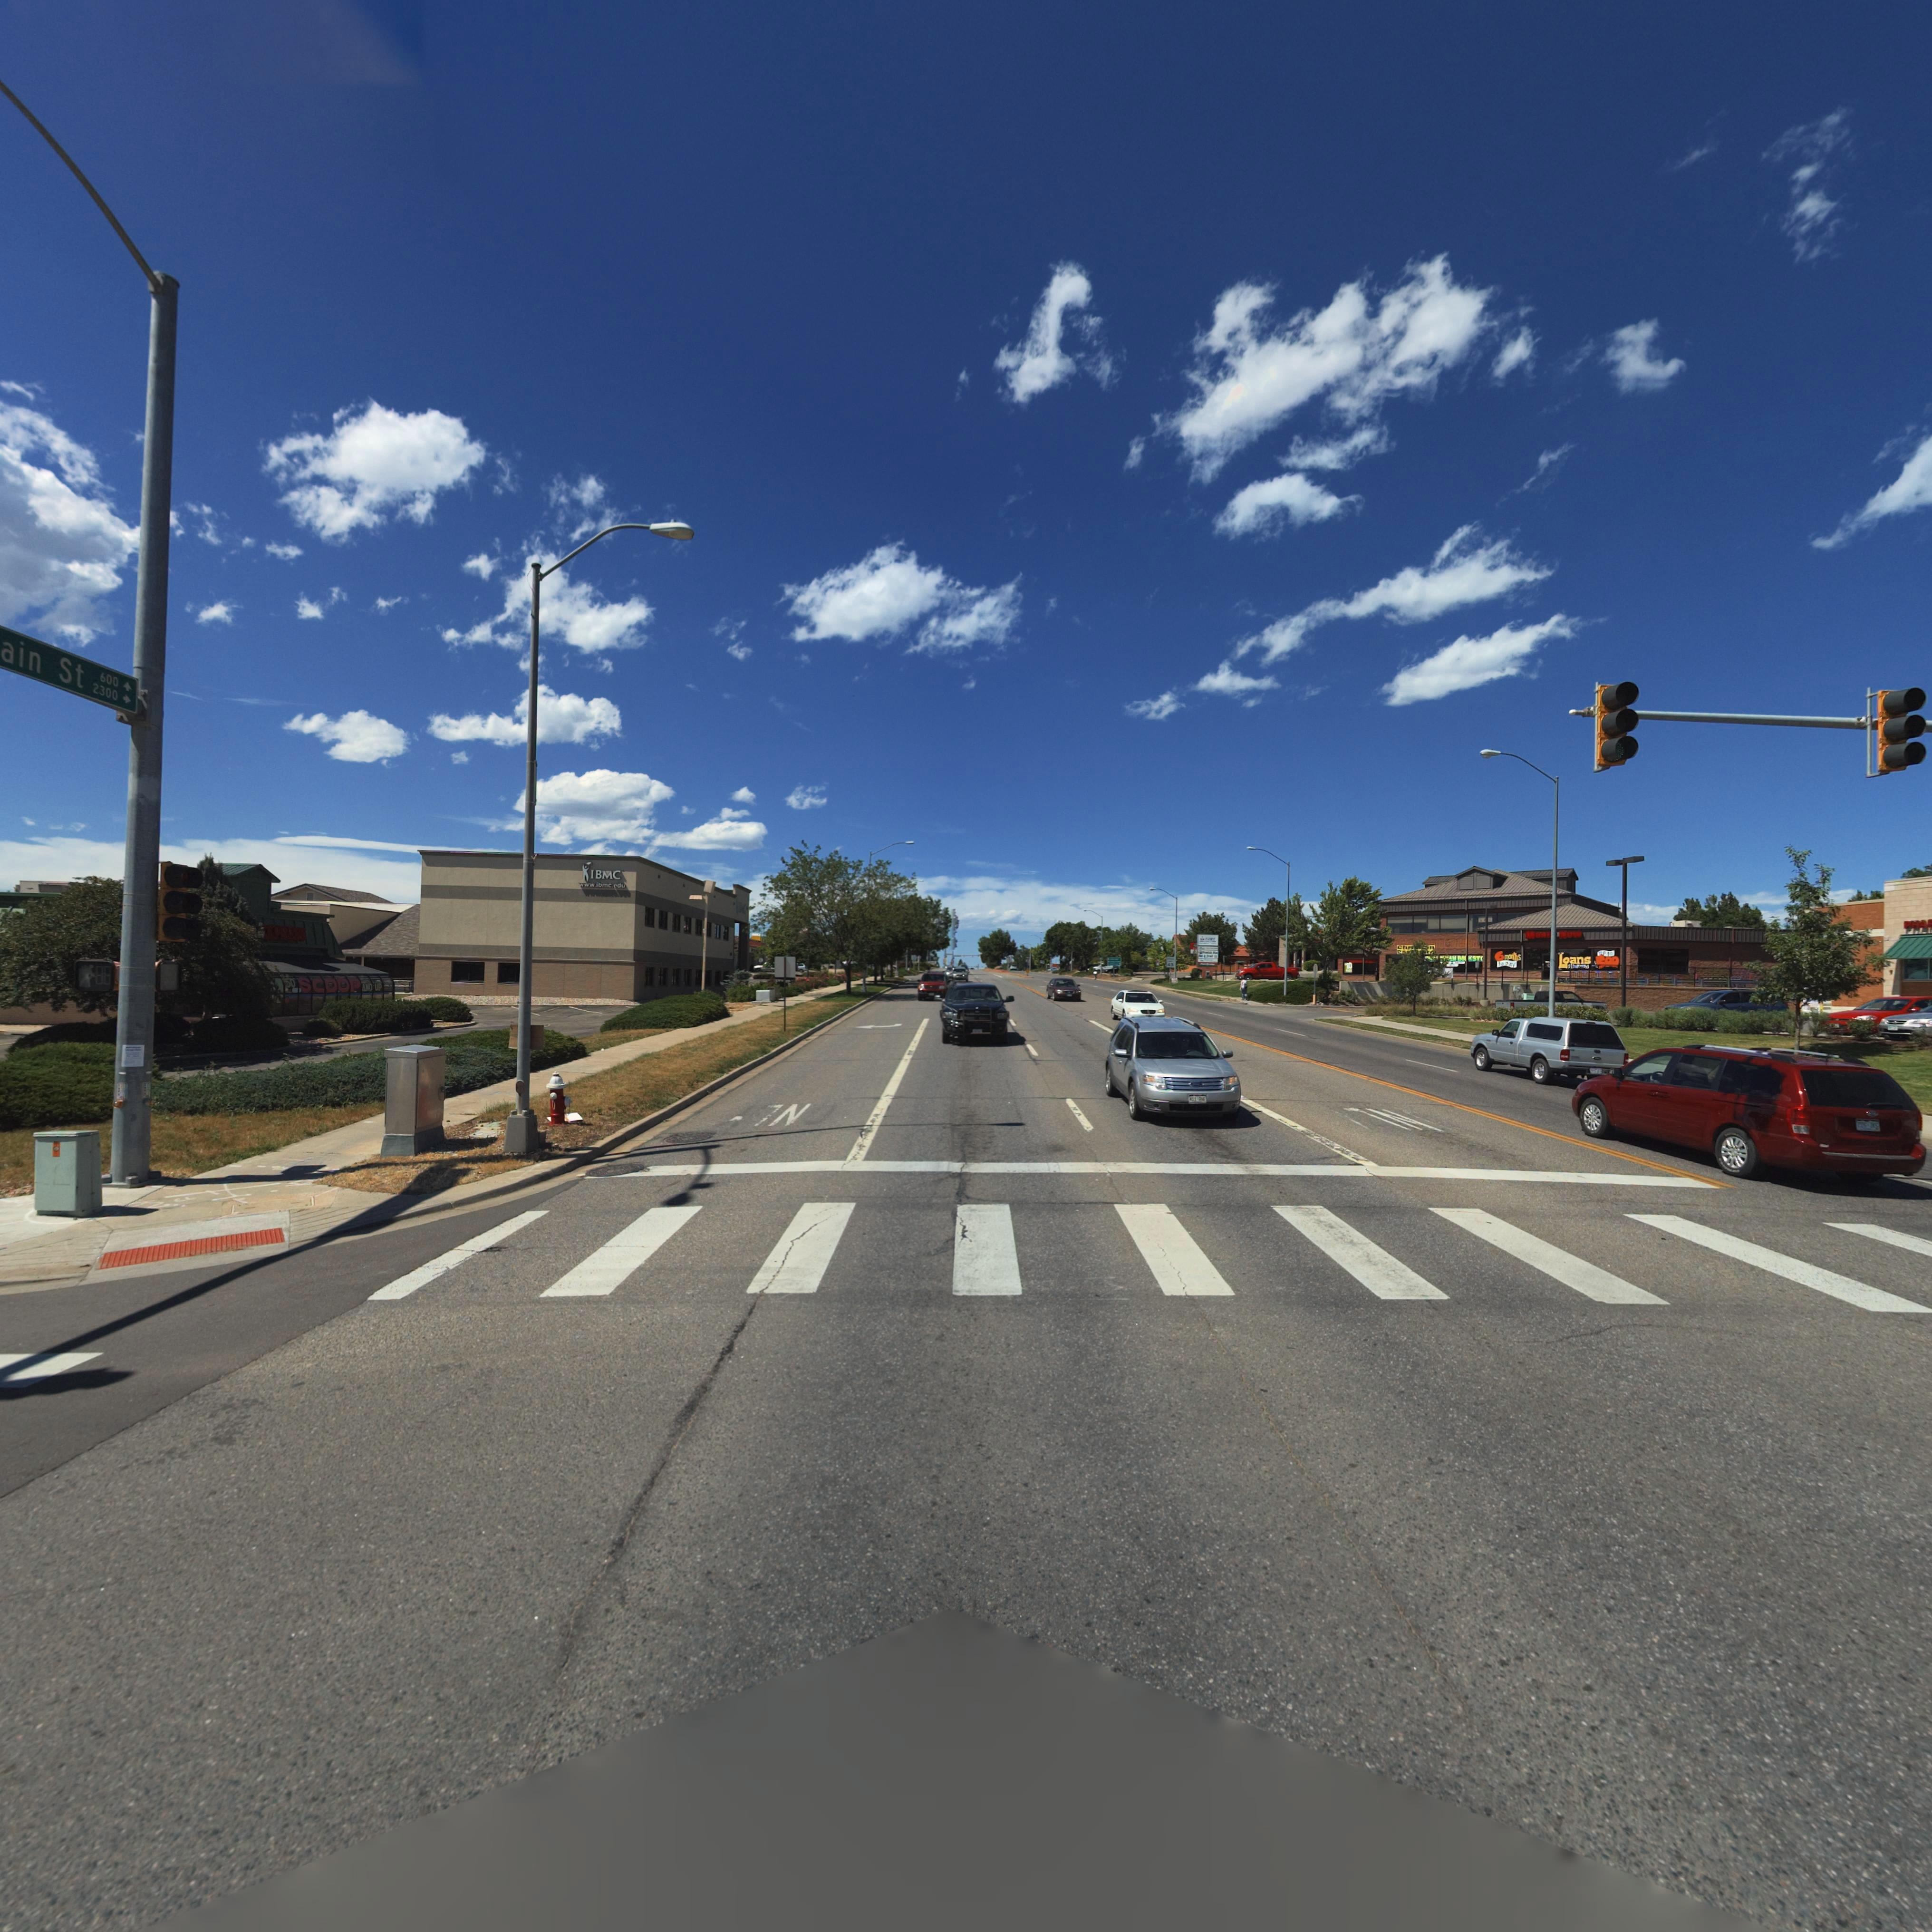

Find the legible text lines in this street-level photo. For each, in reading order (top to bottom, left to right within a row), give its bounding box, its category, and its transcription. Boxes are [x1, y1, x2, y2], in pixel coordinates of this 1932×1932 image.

[1, 639, 85, 690] StreetName: ain St
[99, 671, 118, 688] StreetNumberRange: 600
[93, 682, 132, 706] StreetNumberRange: 2300 ->
[590, 869, 621, 879] BusinessName: IBMC
[1525, 930, 1583, 939] BusinessName: MO** NOW